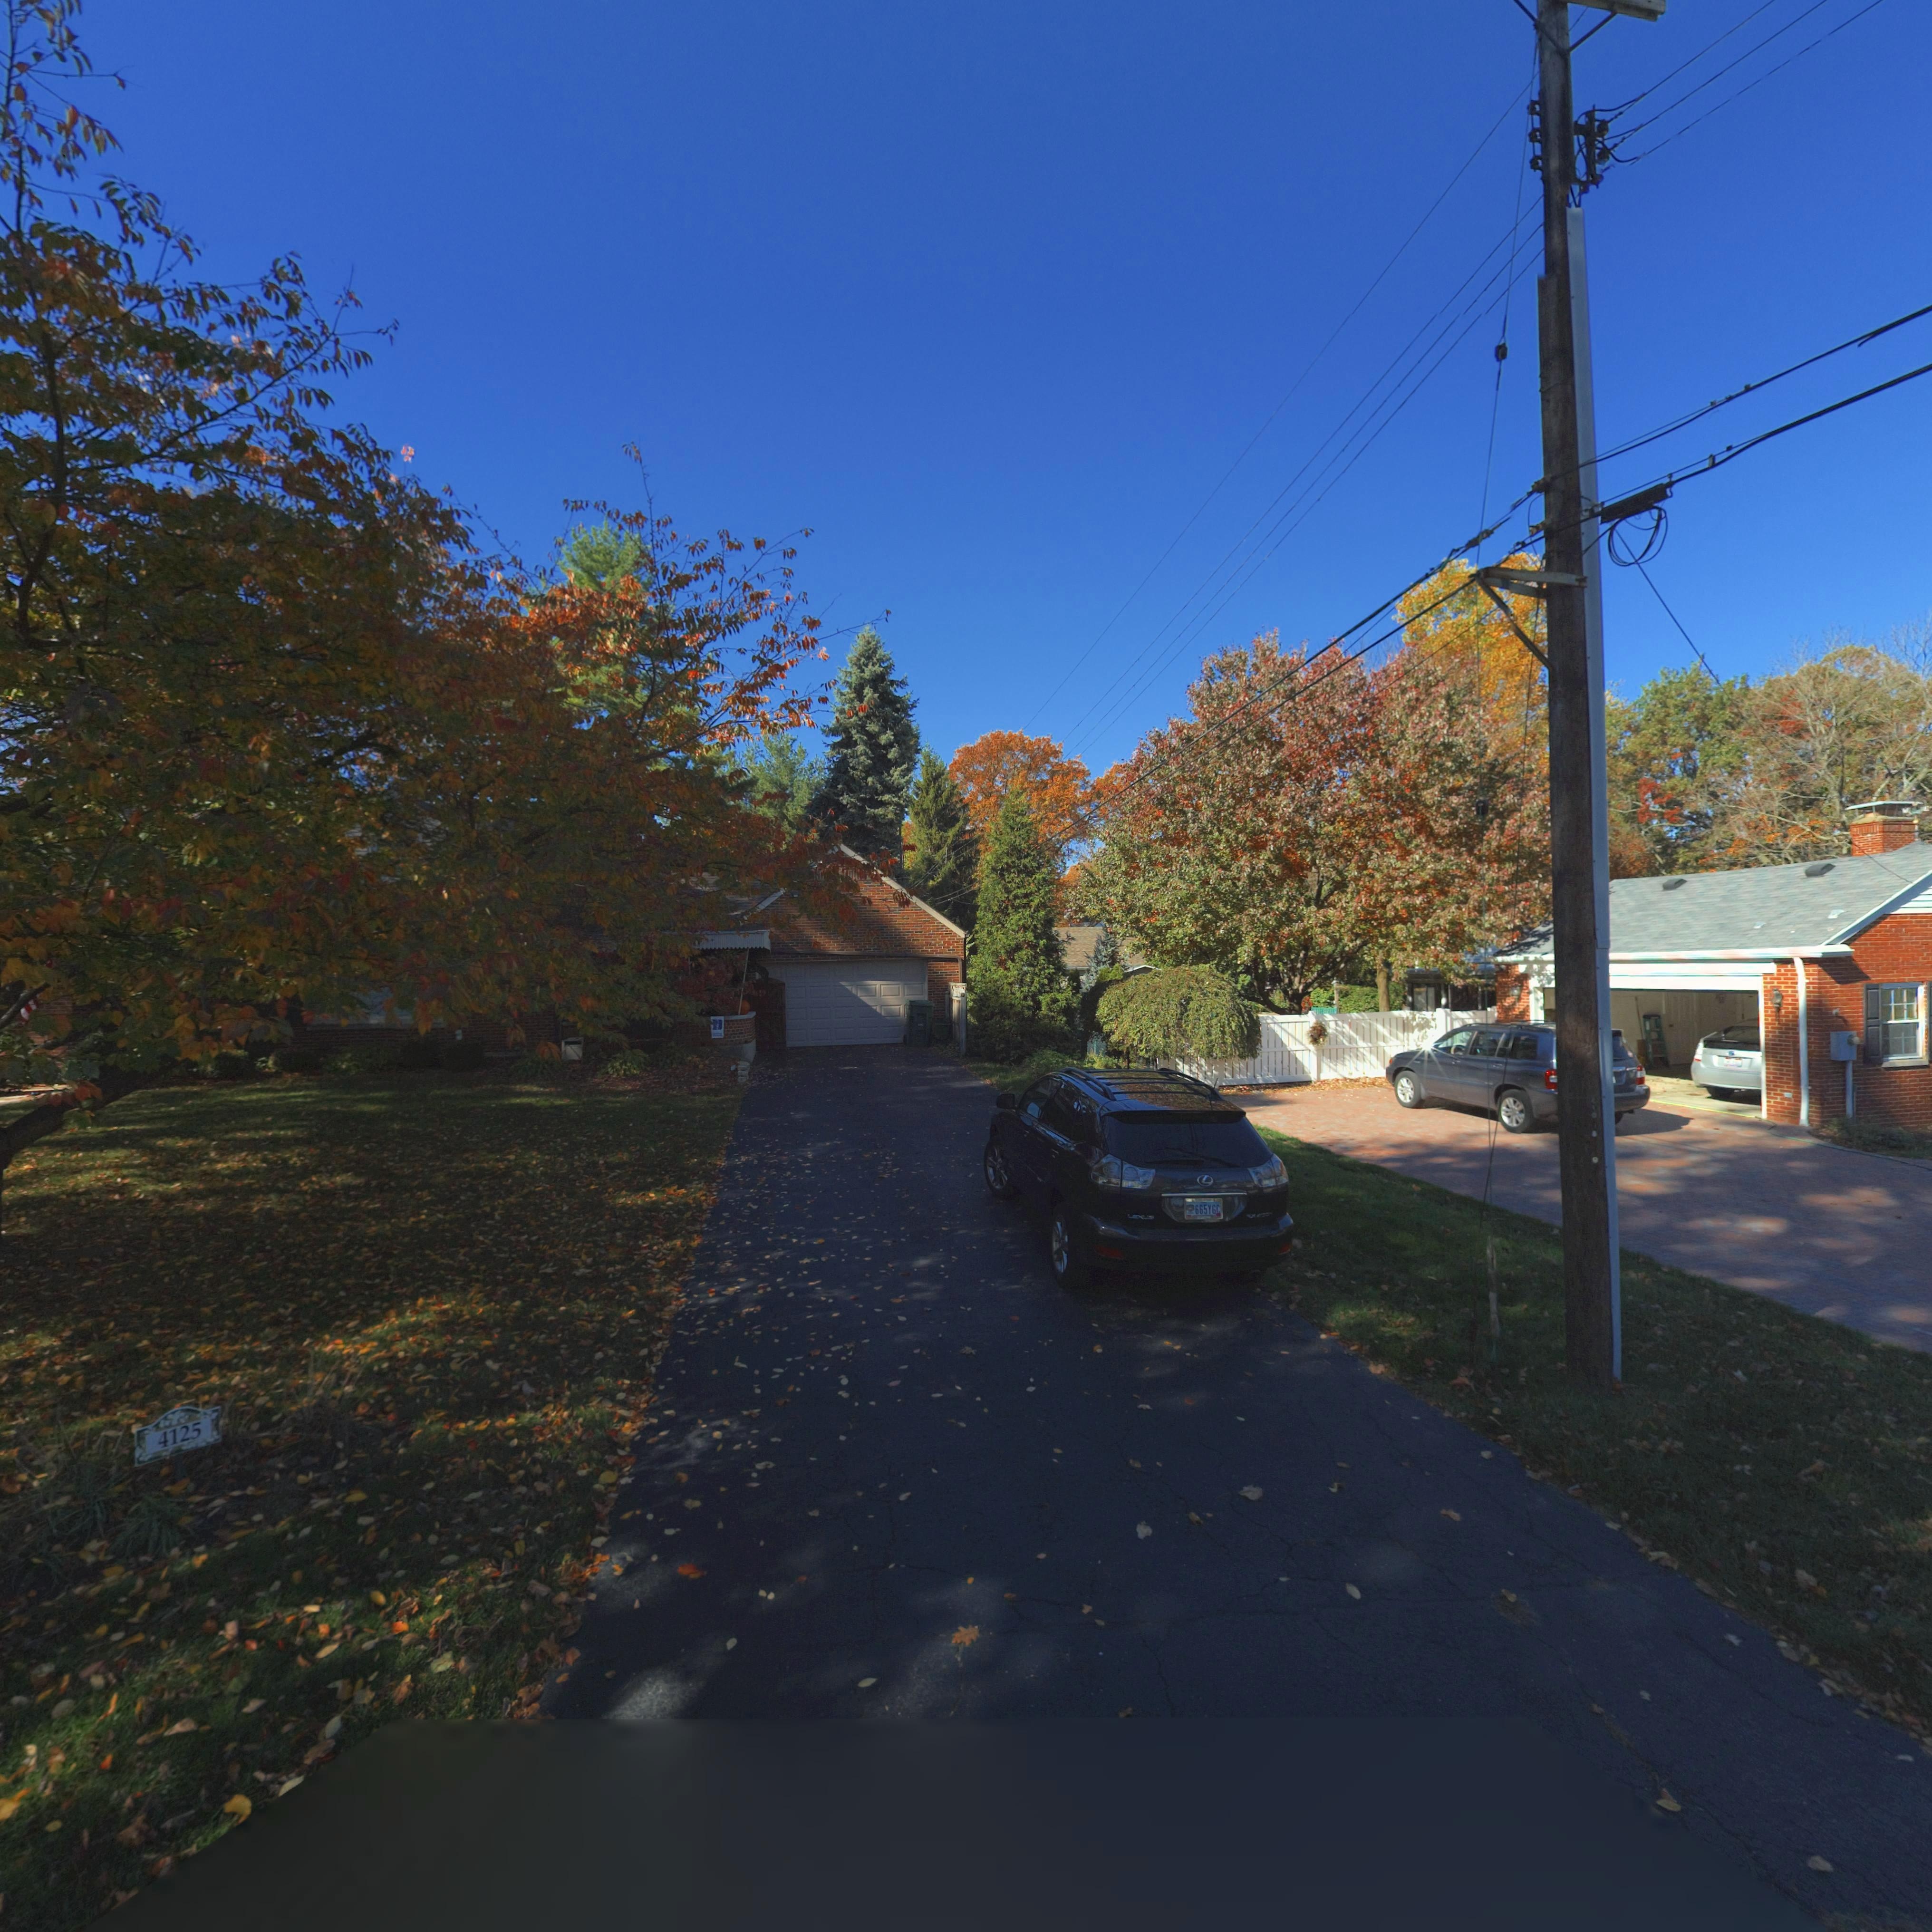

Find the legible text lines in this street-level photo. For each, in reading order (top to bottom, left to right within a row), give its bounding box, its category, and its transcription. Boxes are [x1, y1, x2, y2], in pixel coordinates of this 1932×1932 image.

[1194, 1204, 1221, 1215] None: 665YGC
[1127, 1213, 1155, 1220] None: LEXUS
[155, 1418, 204, 1452] StreetNumber: 4125